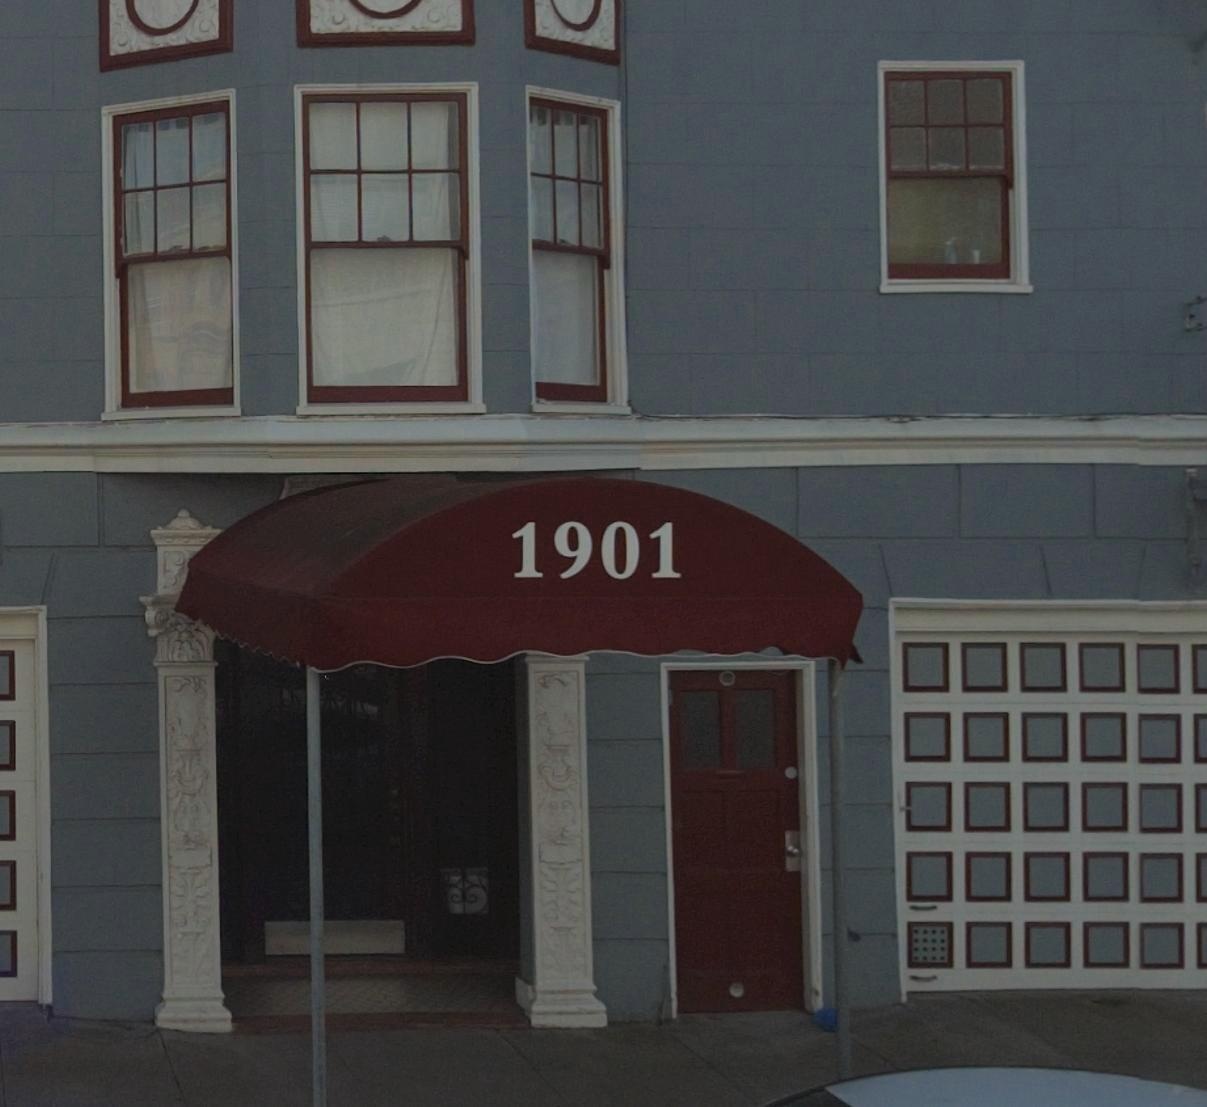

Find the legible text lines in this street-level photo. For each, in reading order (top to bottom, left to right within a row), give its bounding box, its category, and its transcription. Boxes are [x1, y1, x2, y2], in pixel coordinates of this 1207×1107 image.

[509, 518, 684, 582] StreetNumber: 1901